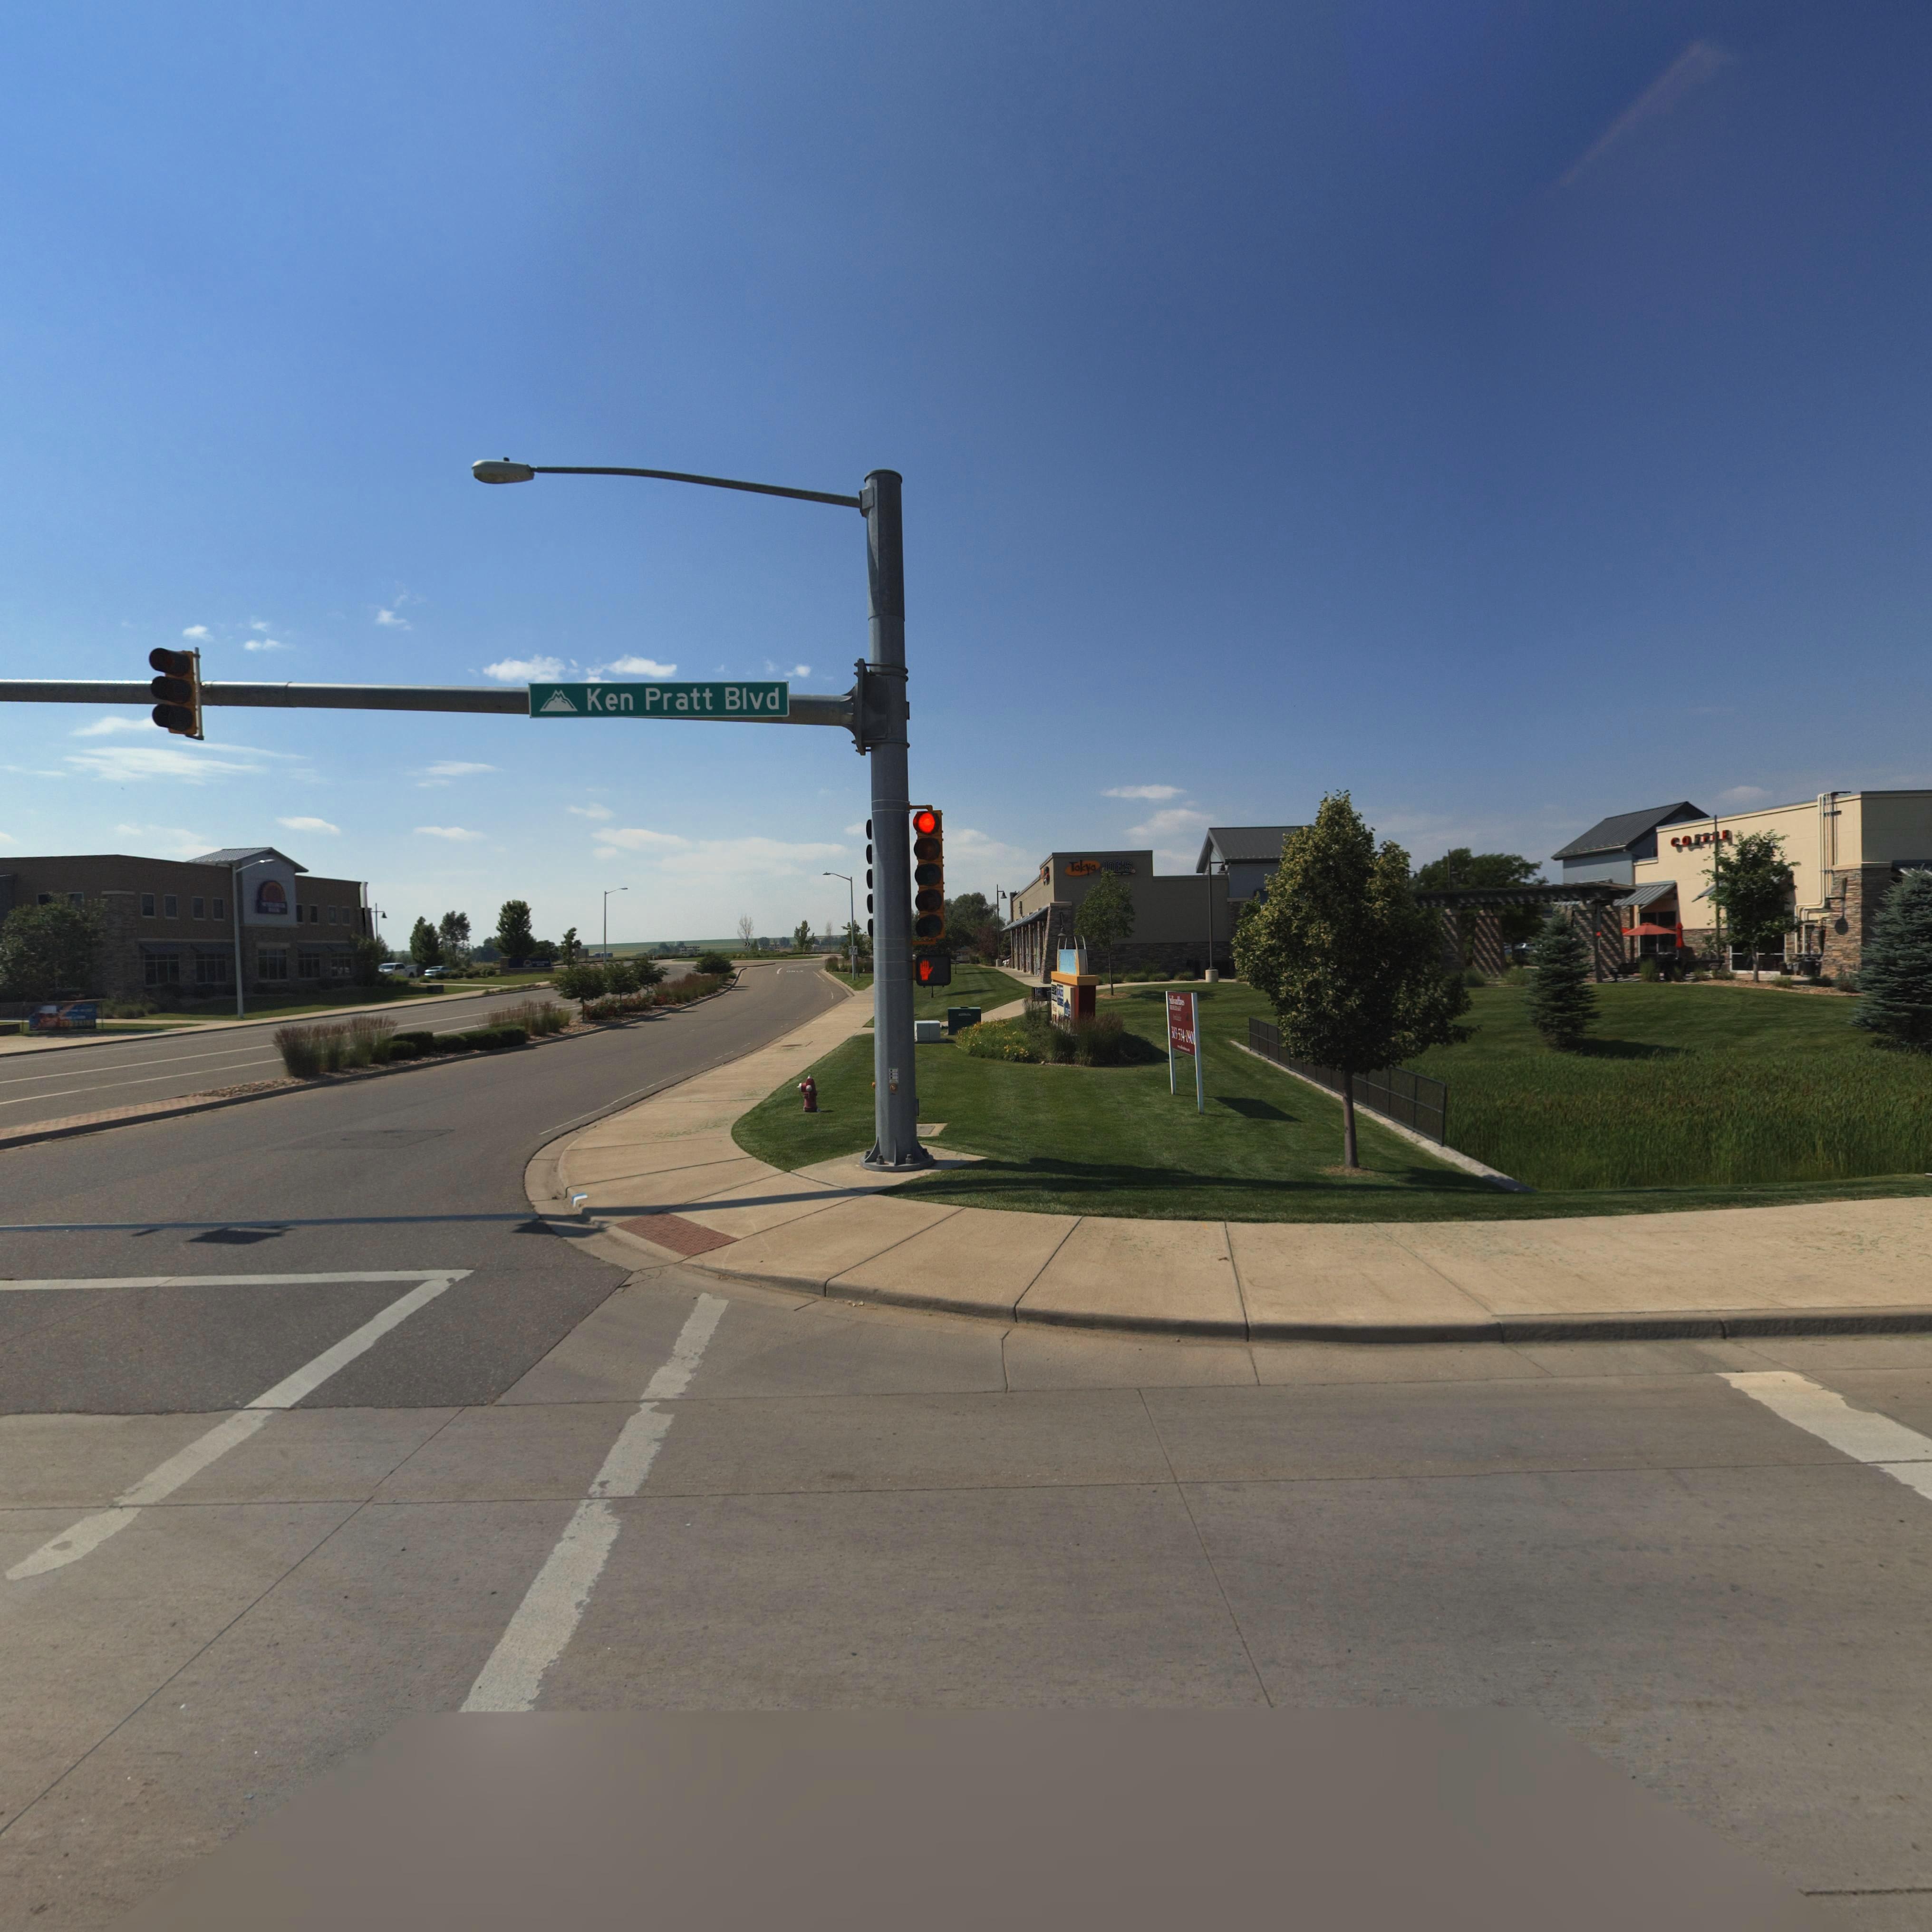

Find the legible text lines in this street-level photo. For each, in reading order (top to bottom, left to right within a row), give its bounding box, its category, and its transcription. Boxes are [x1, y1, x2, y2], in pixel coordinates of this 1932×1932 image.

[586, 686, 780, 711] StreetName: Ken Pratt Blvd
[1670, 829, 1727, 848] BusinessName: COFFEE
[1068, 859, 1096, 877] BusinessName: Tokyo
[1099, 860, 1132, 873] BusinessName: *OE'S
[1057, 985, 1063, 999] BusinessName: **SS